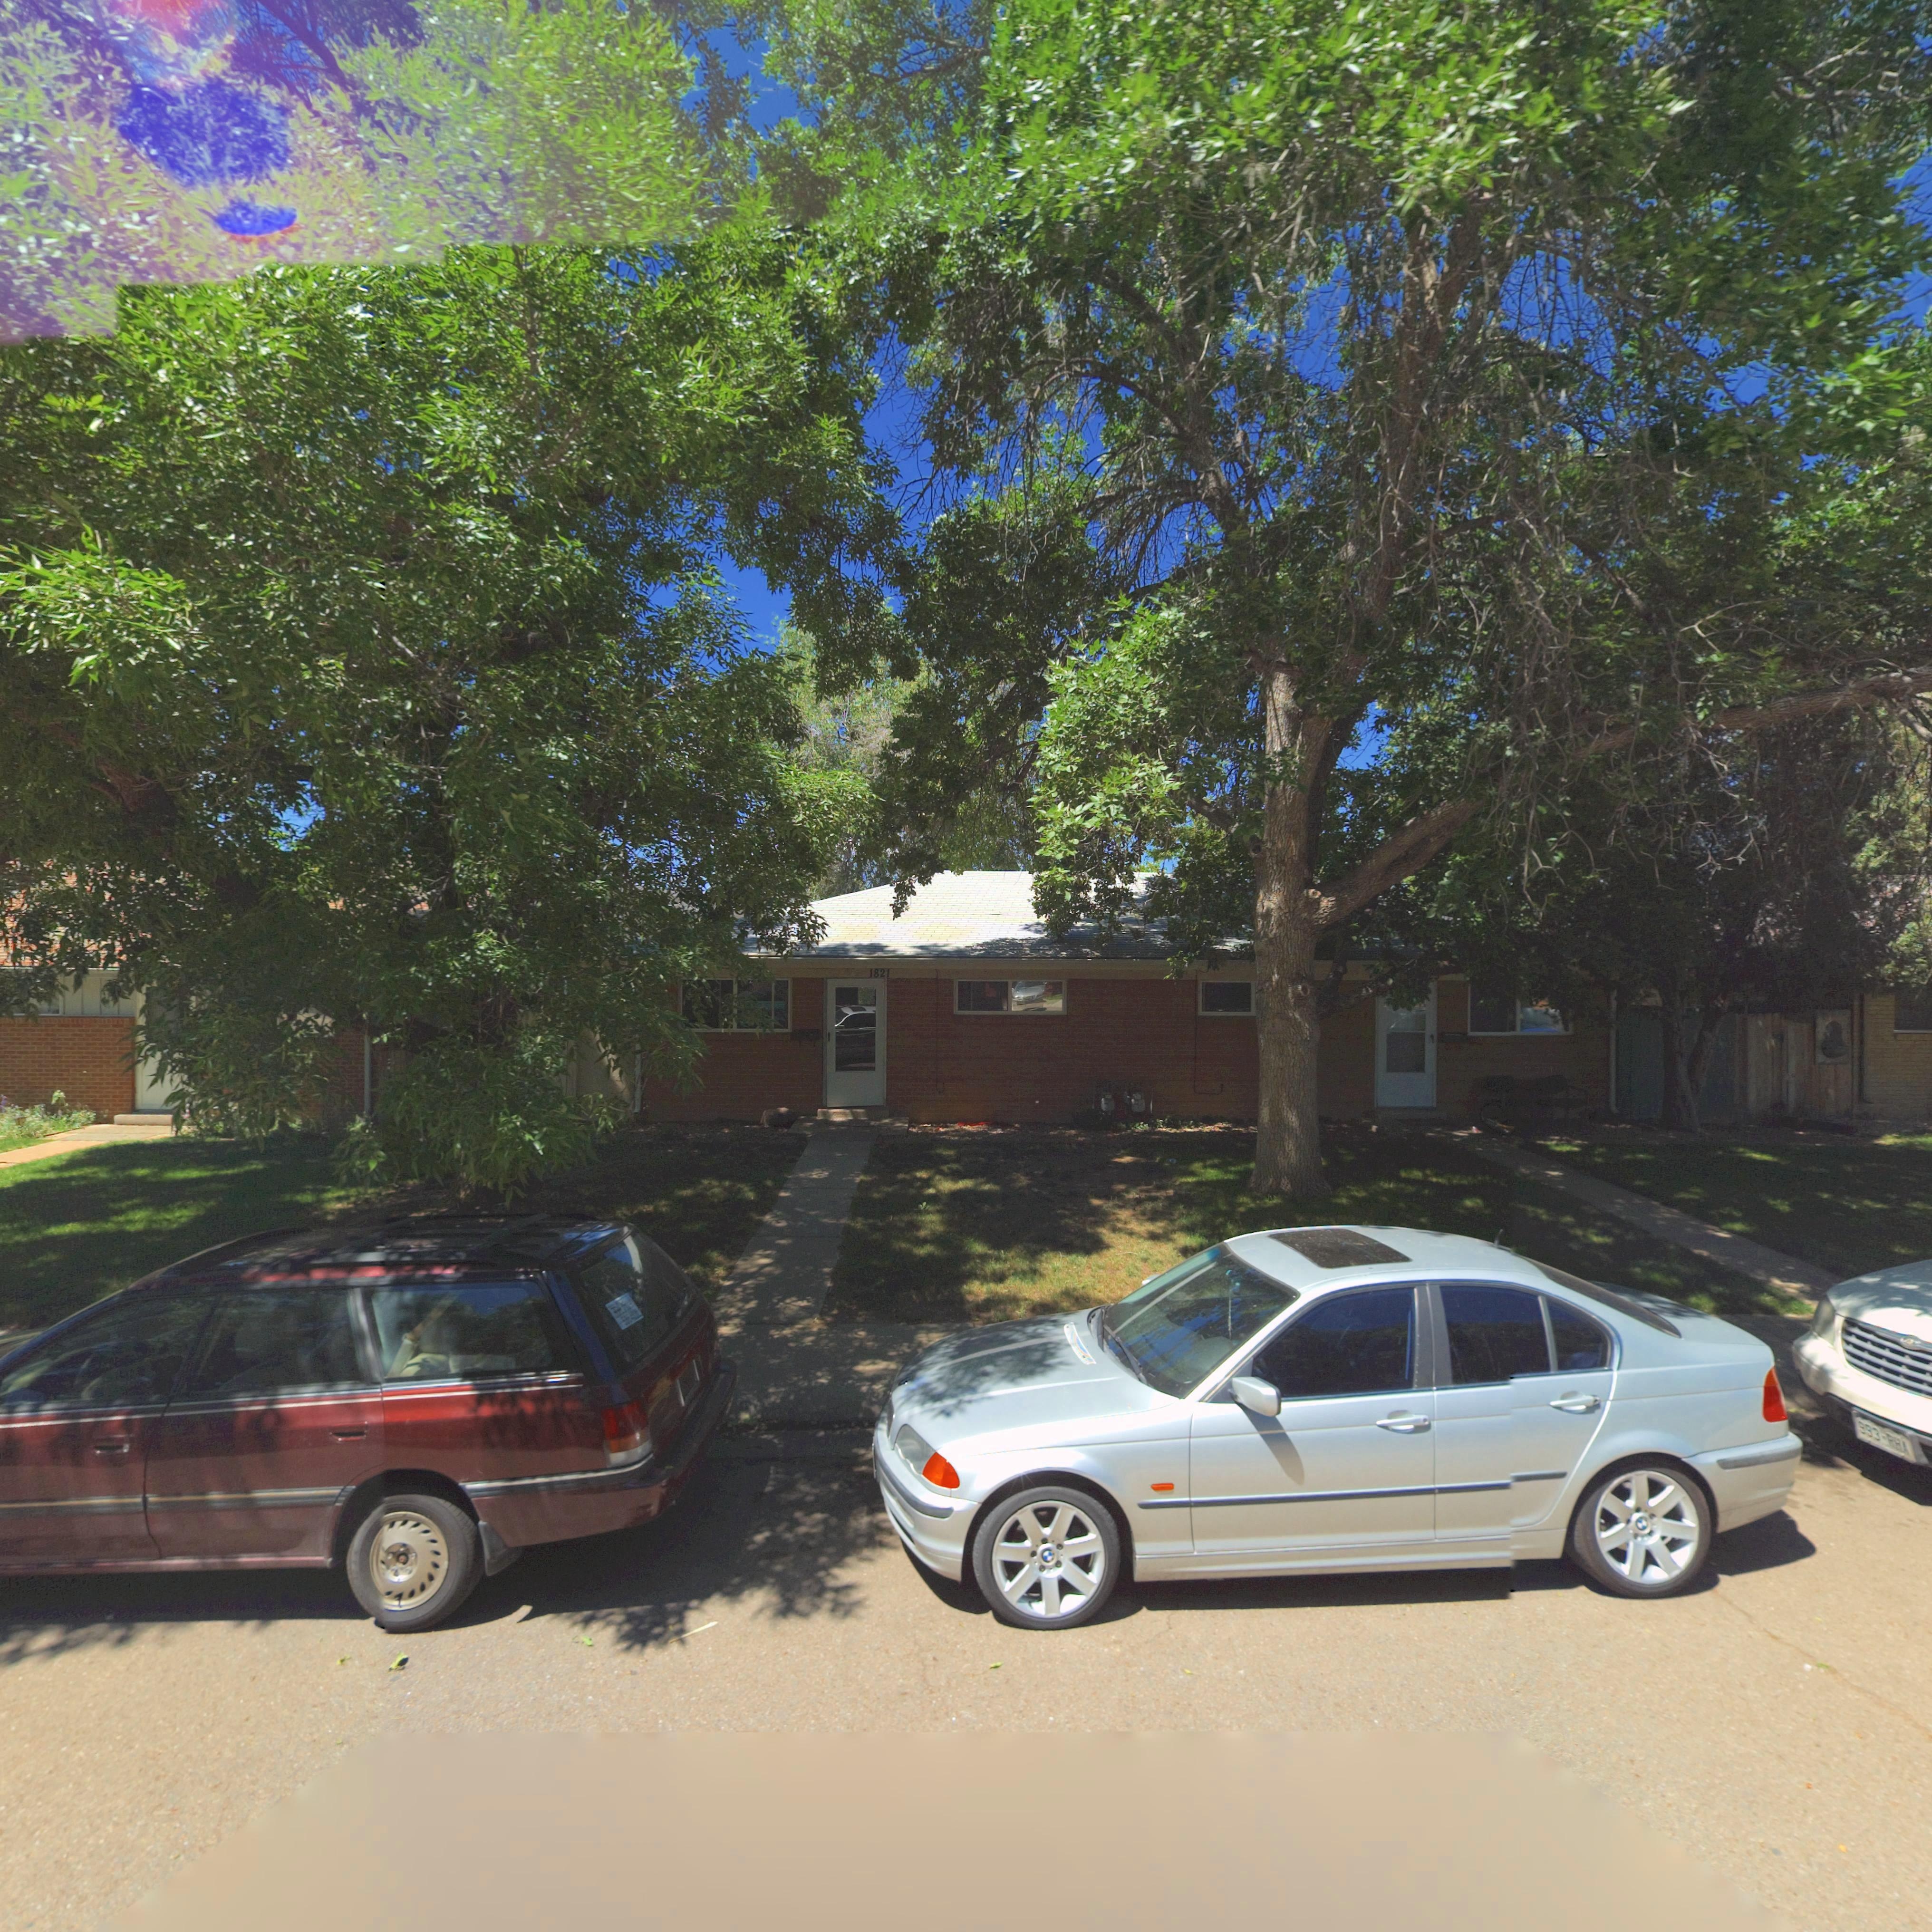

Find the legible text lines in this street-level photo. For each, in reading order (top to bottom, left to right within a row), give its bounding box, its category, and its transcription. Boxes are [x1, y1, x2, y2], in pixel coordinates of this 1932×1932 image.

[869, 968, 890, 977] StreetNumber: 1821